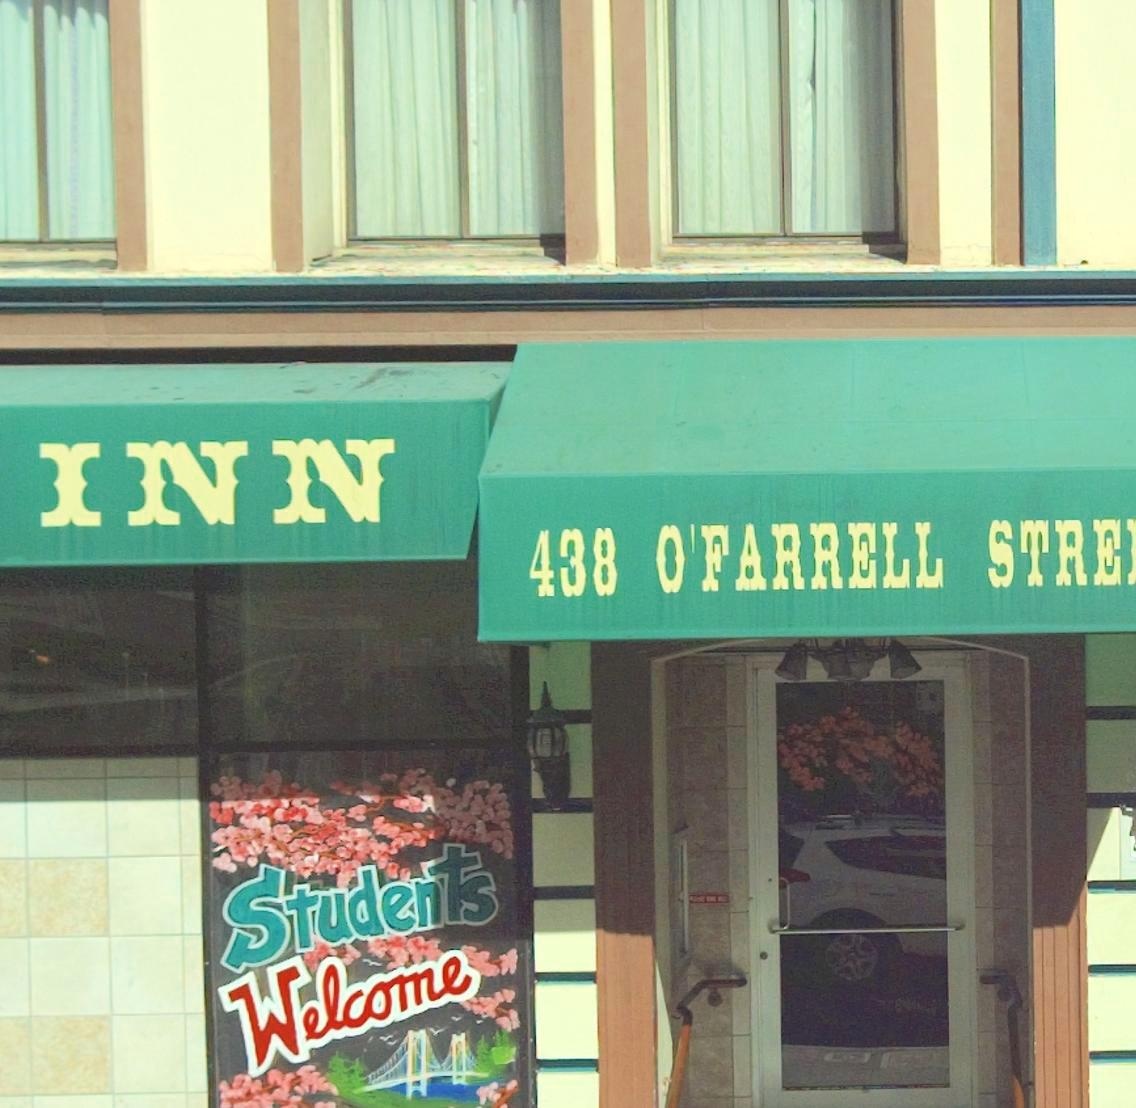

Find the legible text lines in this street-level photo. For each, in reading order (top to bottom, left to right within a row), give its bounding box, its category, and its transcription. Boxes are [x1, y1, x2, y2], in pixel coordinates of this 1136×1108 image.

[27, 429, 407, 538] BusinessName: INN
[524, 520, 622, 604] StreetNumber: 438
[647, 512, 1127, 601] StreetName: O'FARRELL STRE
[208, 828, 507, 987] None: Students
[203, 942, 492, 1090] None: Welcome